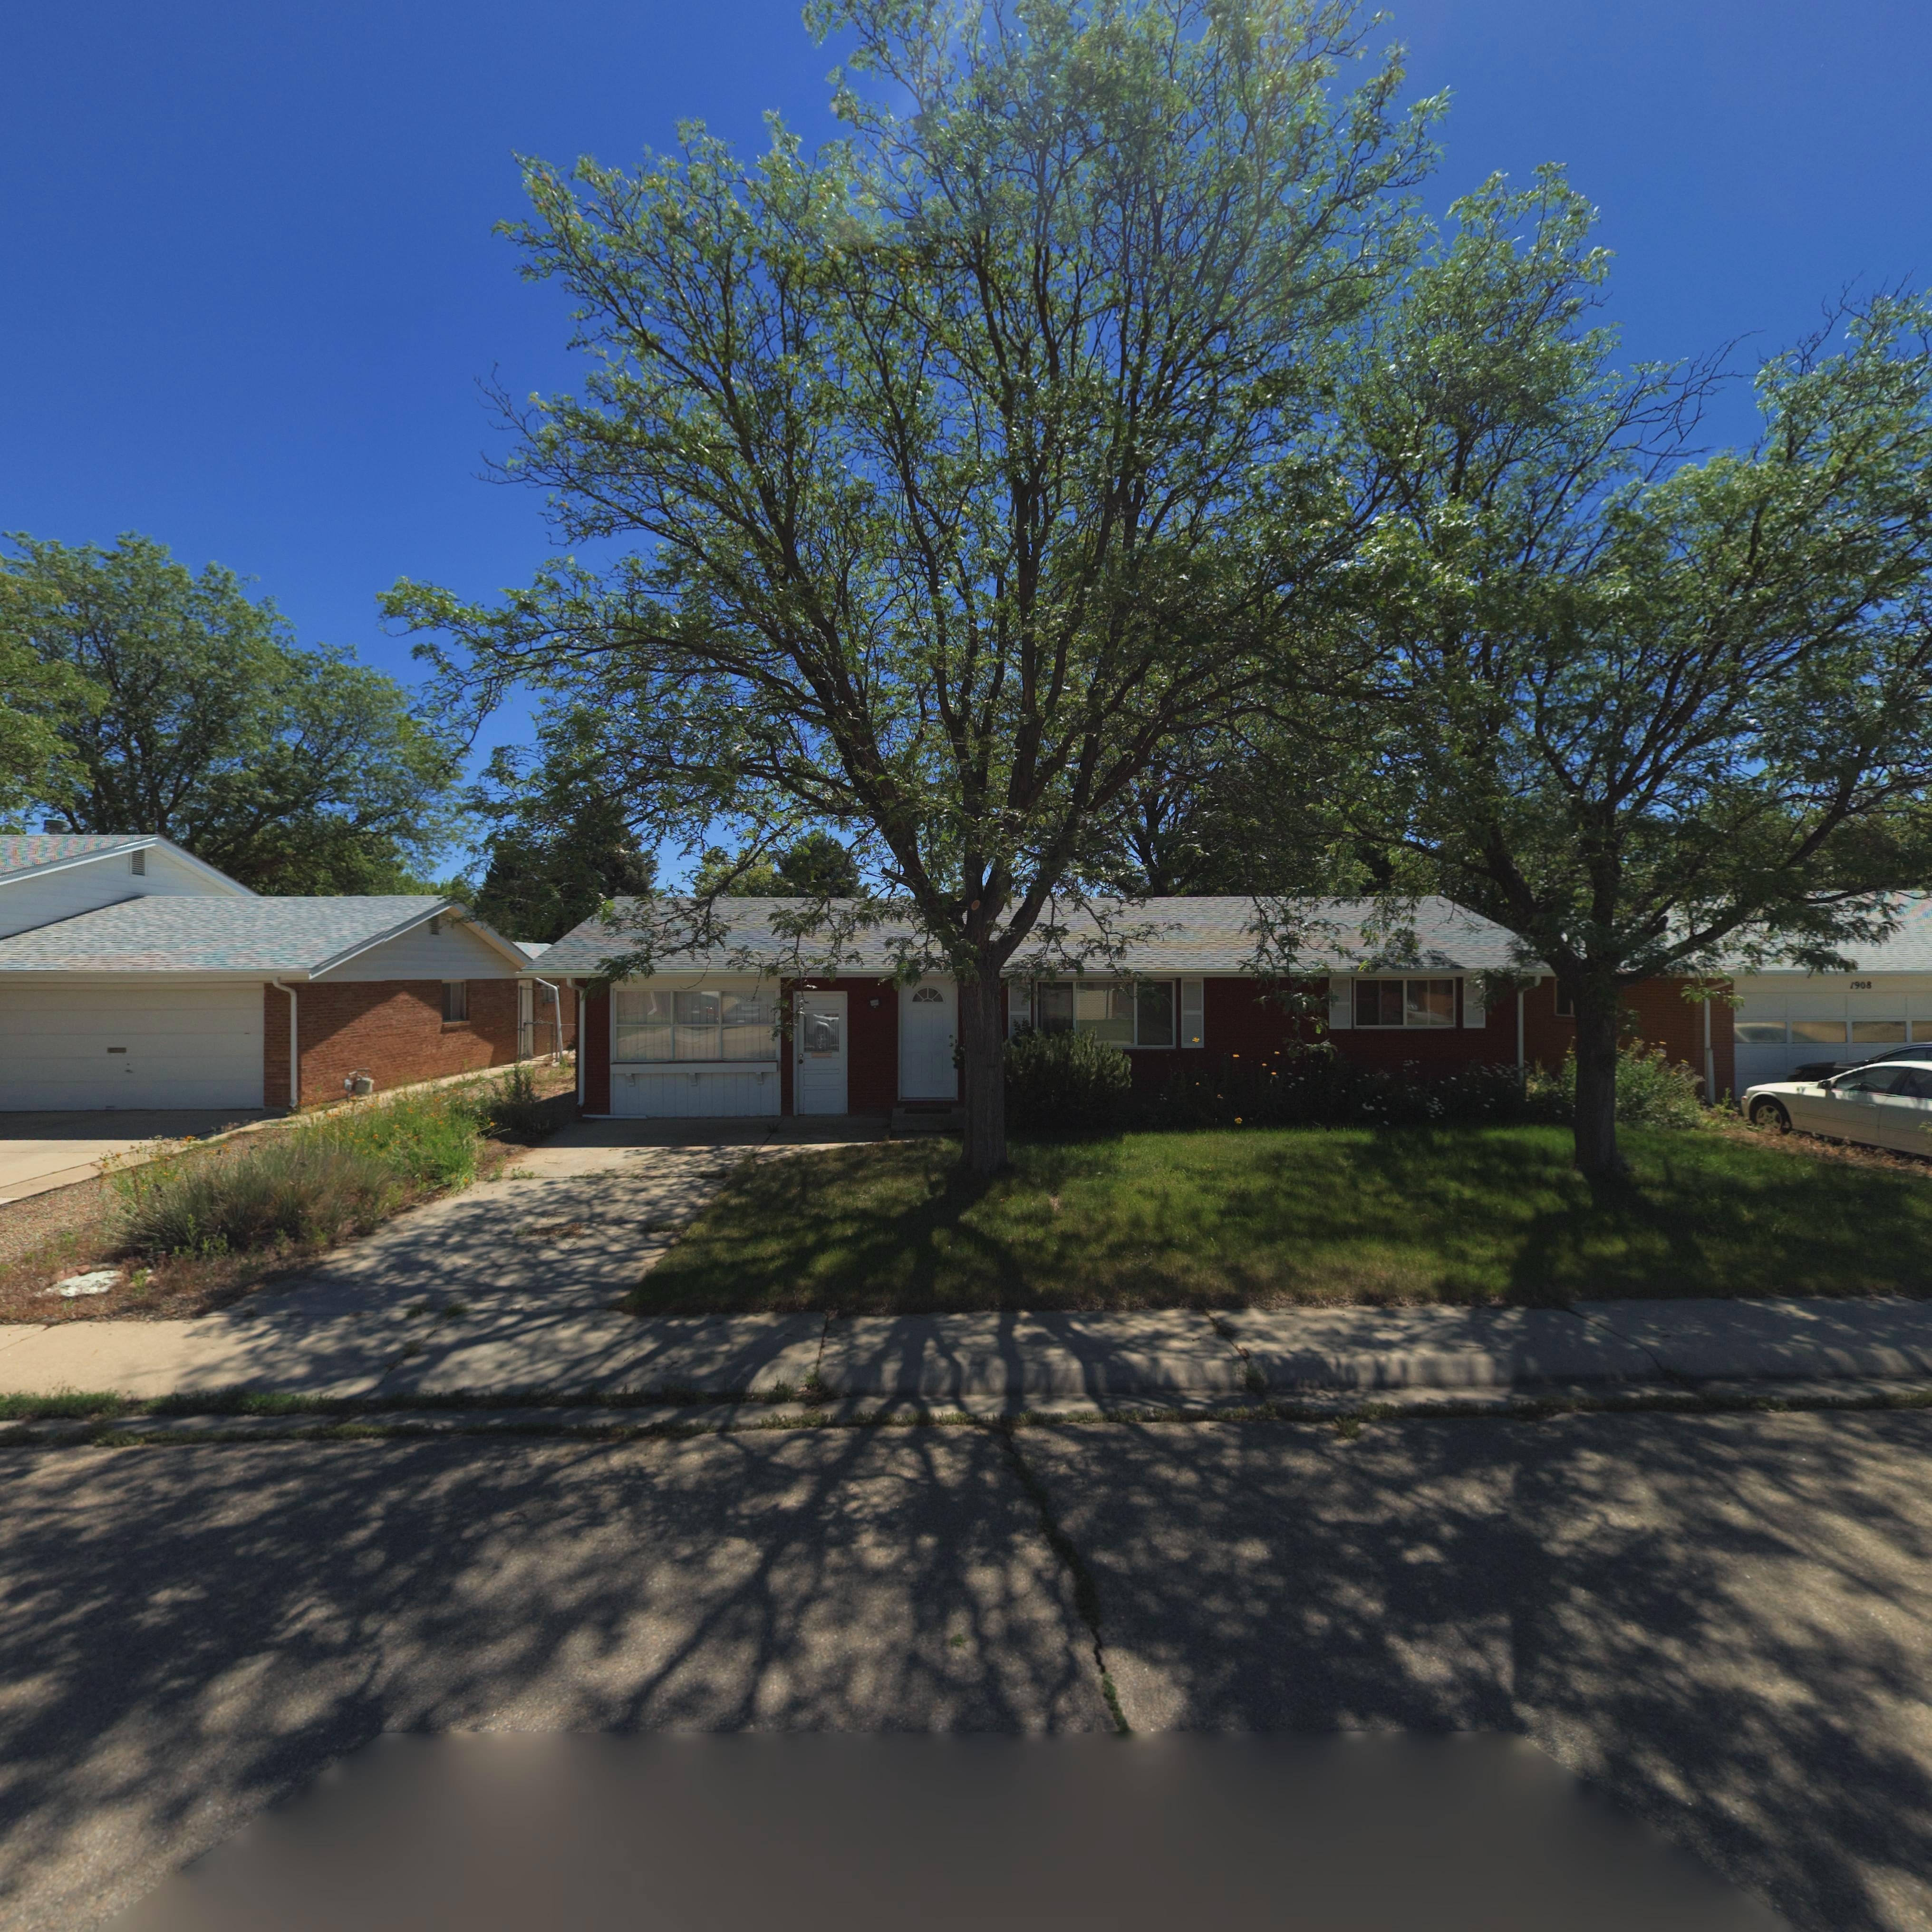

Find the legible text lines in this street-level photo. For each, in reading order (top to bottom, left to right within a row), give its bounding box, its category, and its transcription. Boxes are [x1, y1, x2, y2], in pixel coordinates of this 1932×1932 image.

[1849, 980, 1872, 989] StreetNumber: 1908